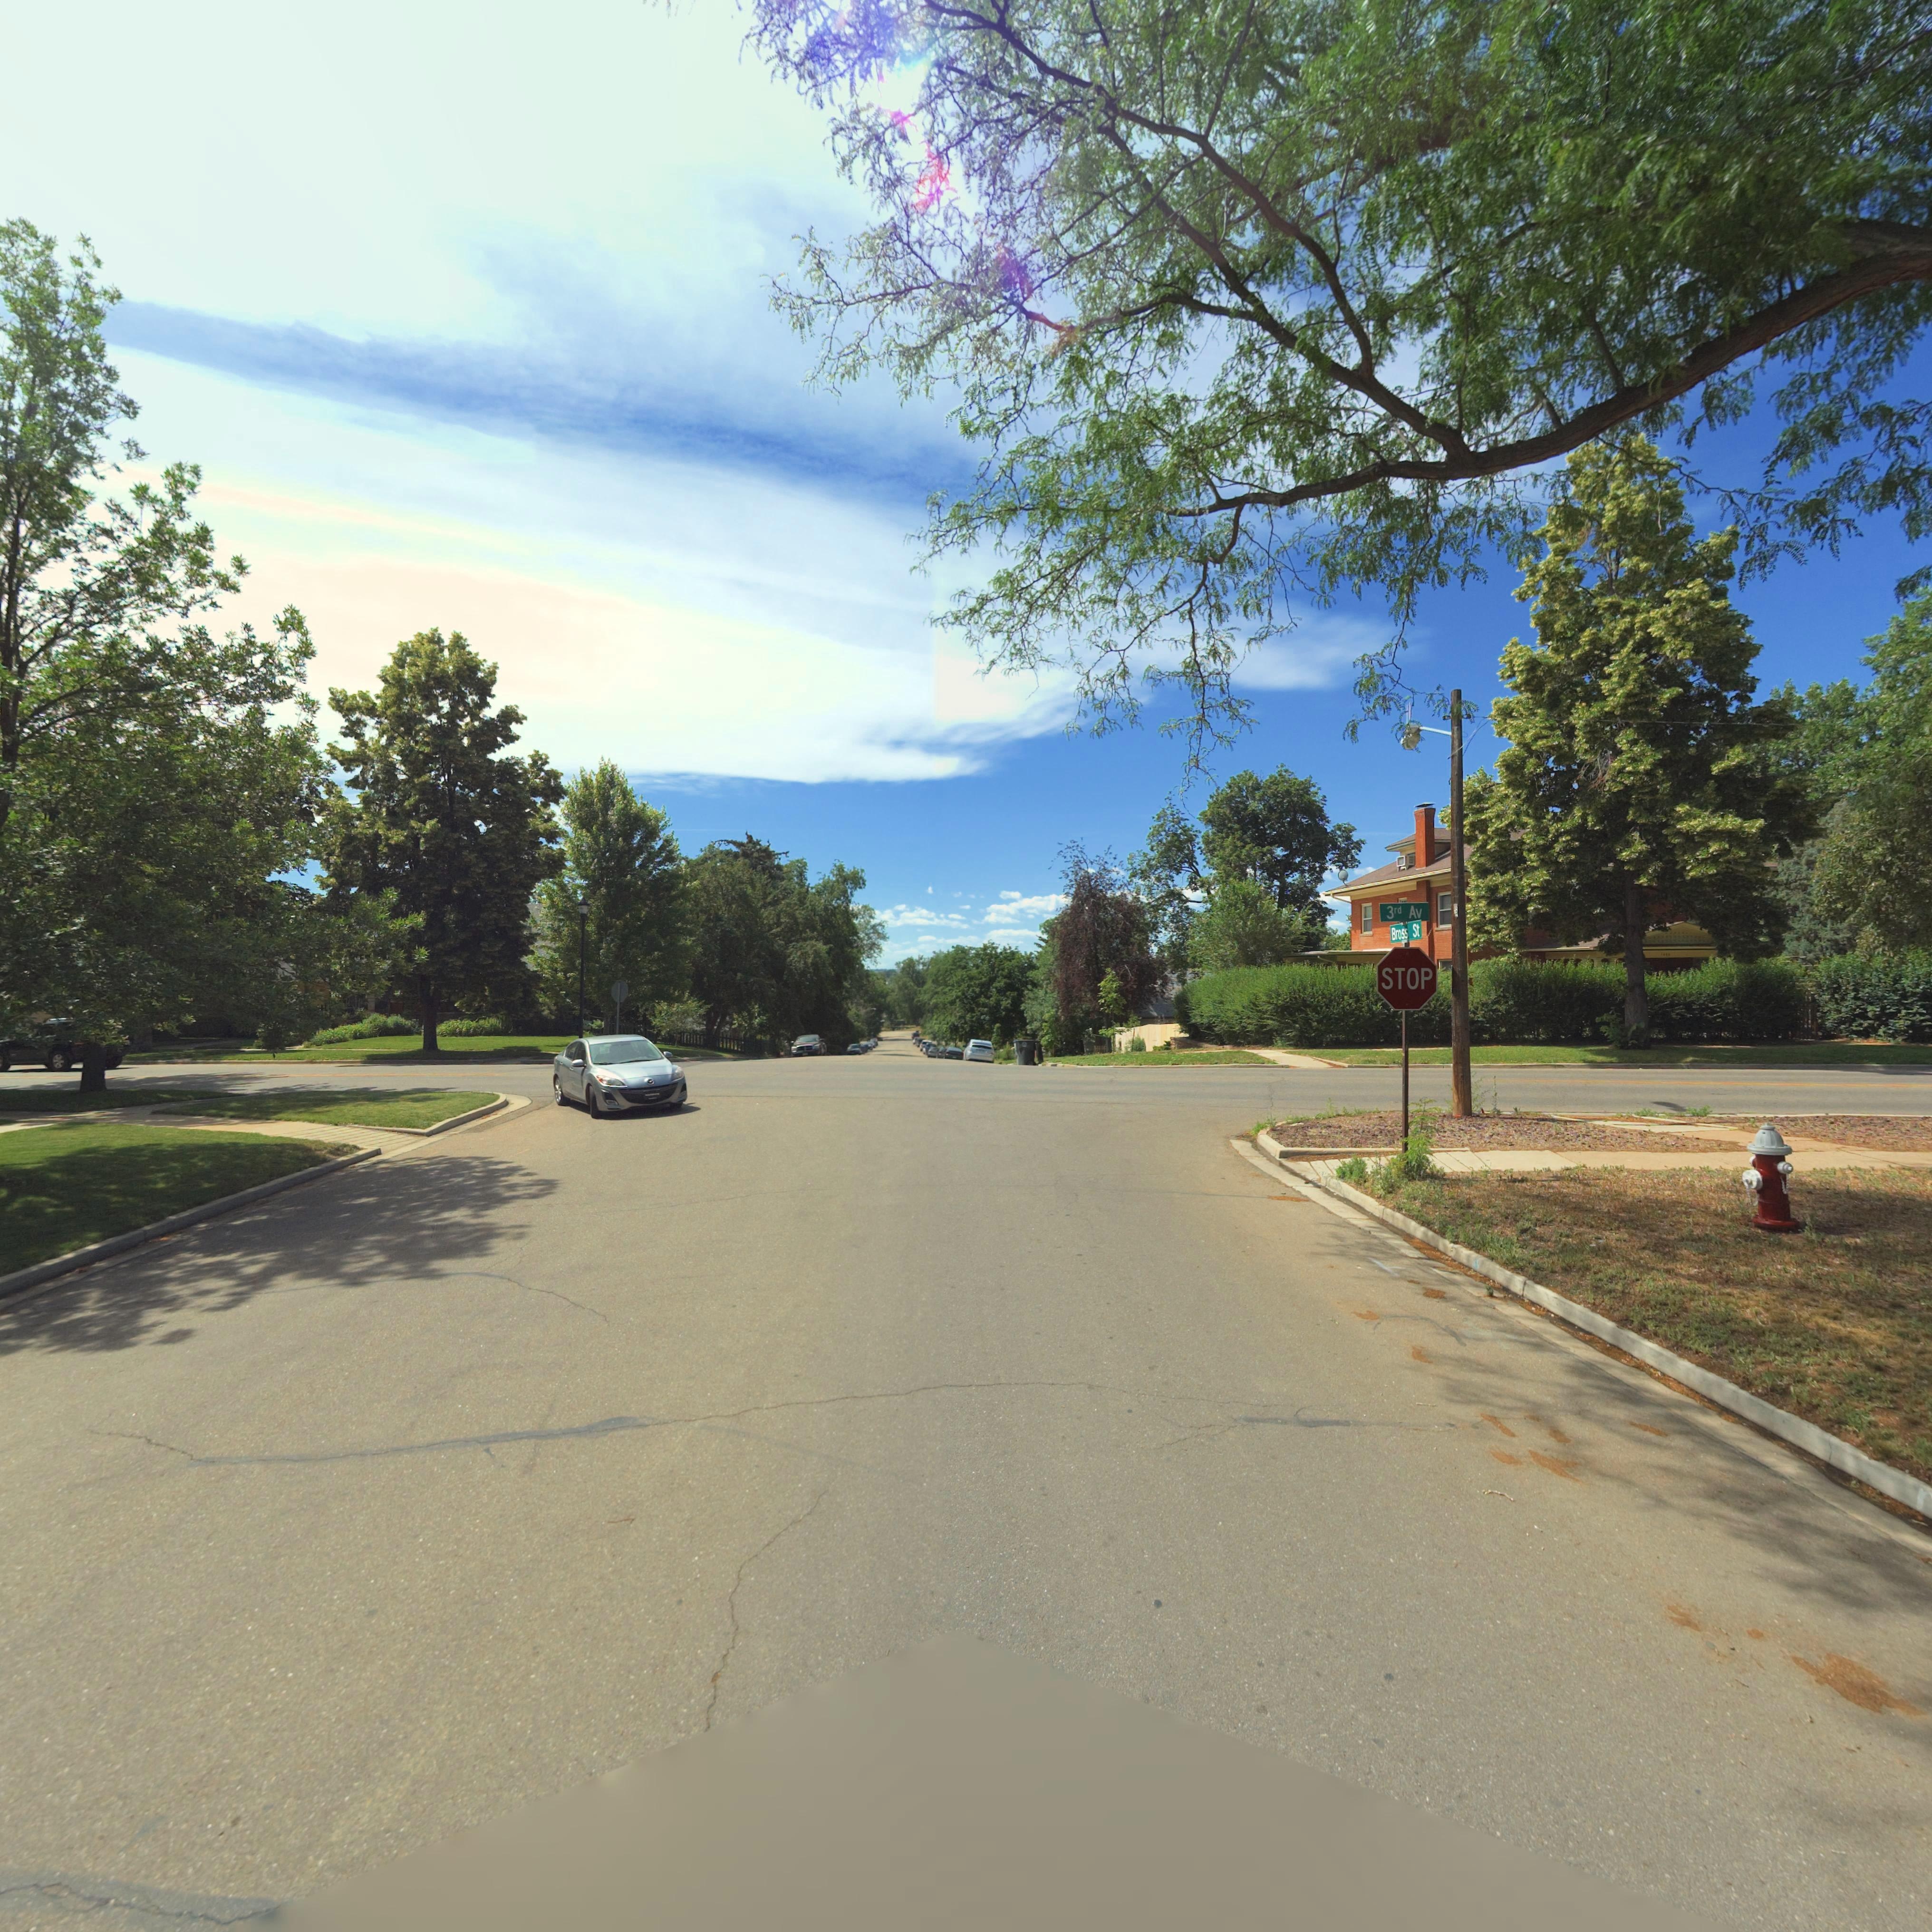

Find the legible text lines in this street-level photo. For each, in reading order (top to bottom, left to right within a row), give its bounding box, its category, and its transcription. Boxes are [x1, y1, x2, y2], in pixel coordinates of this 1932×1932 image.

[1386, 905, 1421, 919] StreetName: 3rd Av
[1391, 923, 1420, 940] StreetName: Bross St
[1661, 952, 1670, 956] StreetNumber: 1***